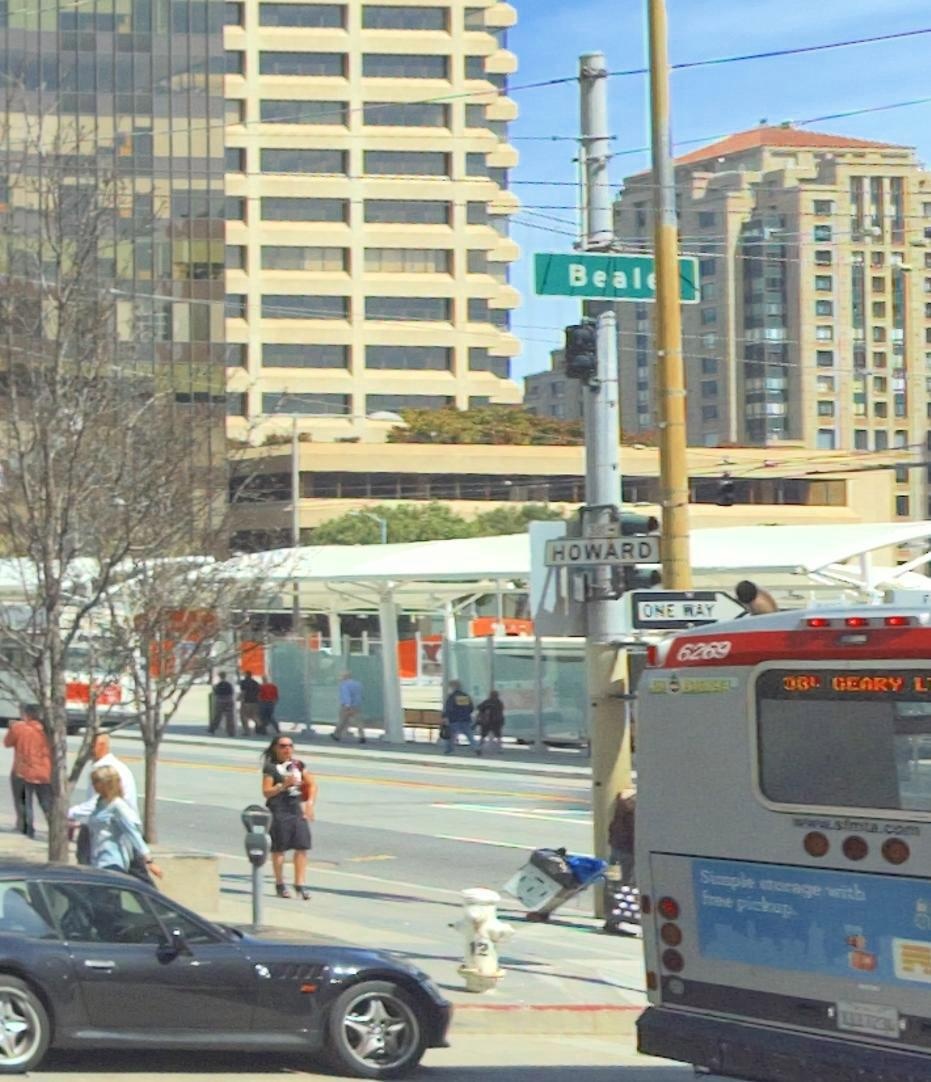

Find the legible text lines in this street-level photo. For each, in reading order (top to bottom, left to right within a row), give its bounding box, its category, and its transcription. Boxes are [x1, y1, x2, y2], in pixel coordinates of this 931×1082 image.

[566, 261, 664, 293] StreetName: Beal*
[550, 540, 652, 563] StreetName: HOWARD
[642, 602, 718, 618] None: ONE WAY
[672, 638, 736, 663] None: 6269
[779, 674, 905, 693] StreetName: *6*. GEARY
[698, 866, 866, 905] None: Simpl *torage with
[698, 886, 795, 921] None: free pickup